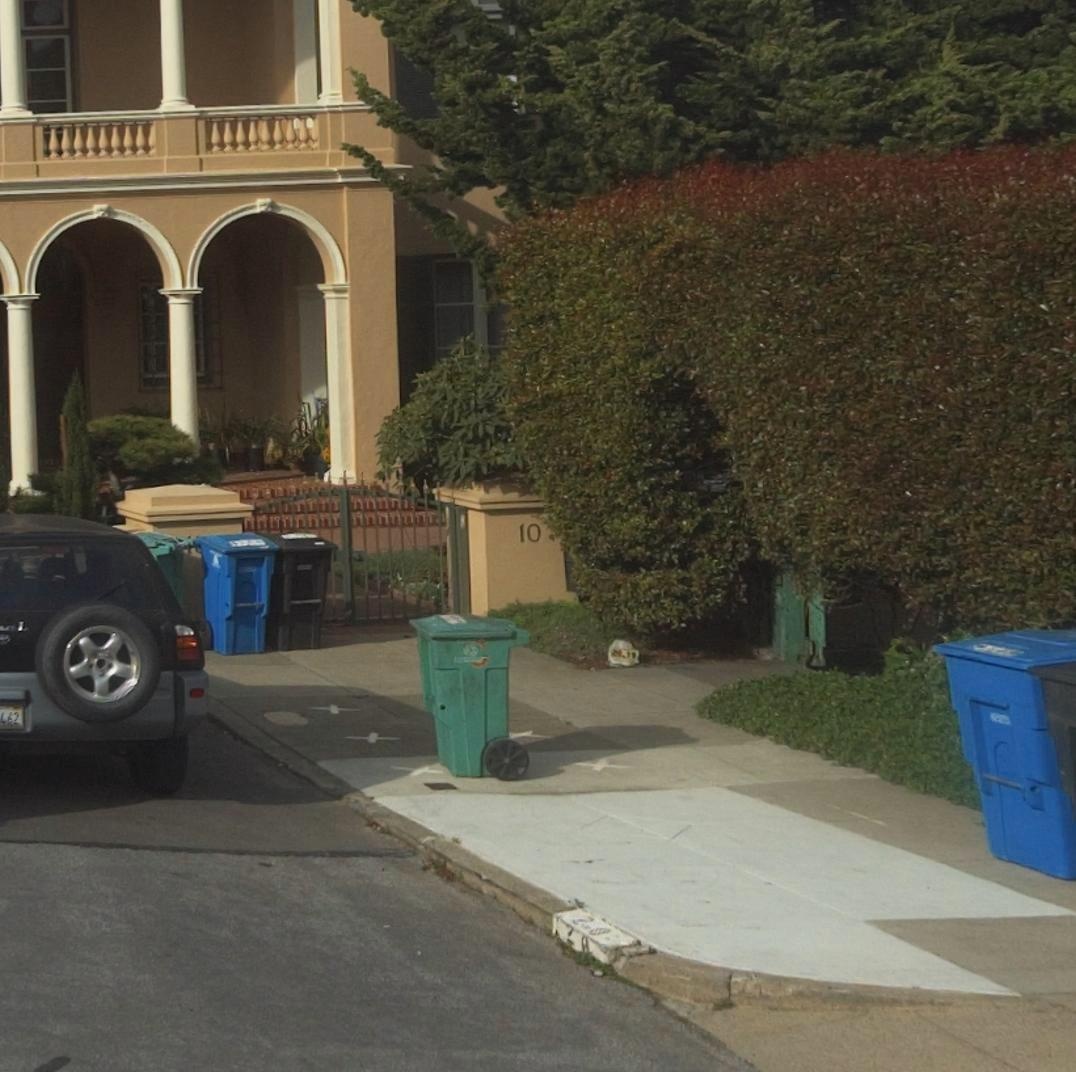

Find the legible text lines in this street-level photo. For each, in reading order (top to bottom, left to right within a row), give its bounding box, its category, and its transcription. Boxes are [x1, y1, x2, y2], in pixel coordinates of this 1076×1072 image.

[519, 522, 541, 543] StreetNumber: 10
[0, 711, 20, 726] None: 462